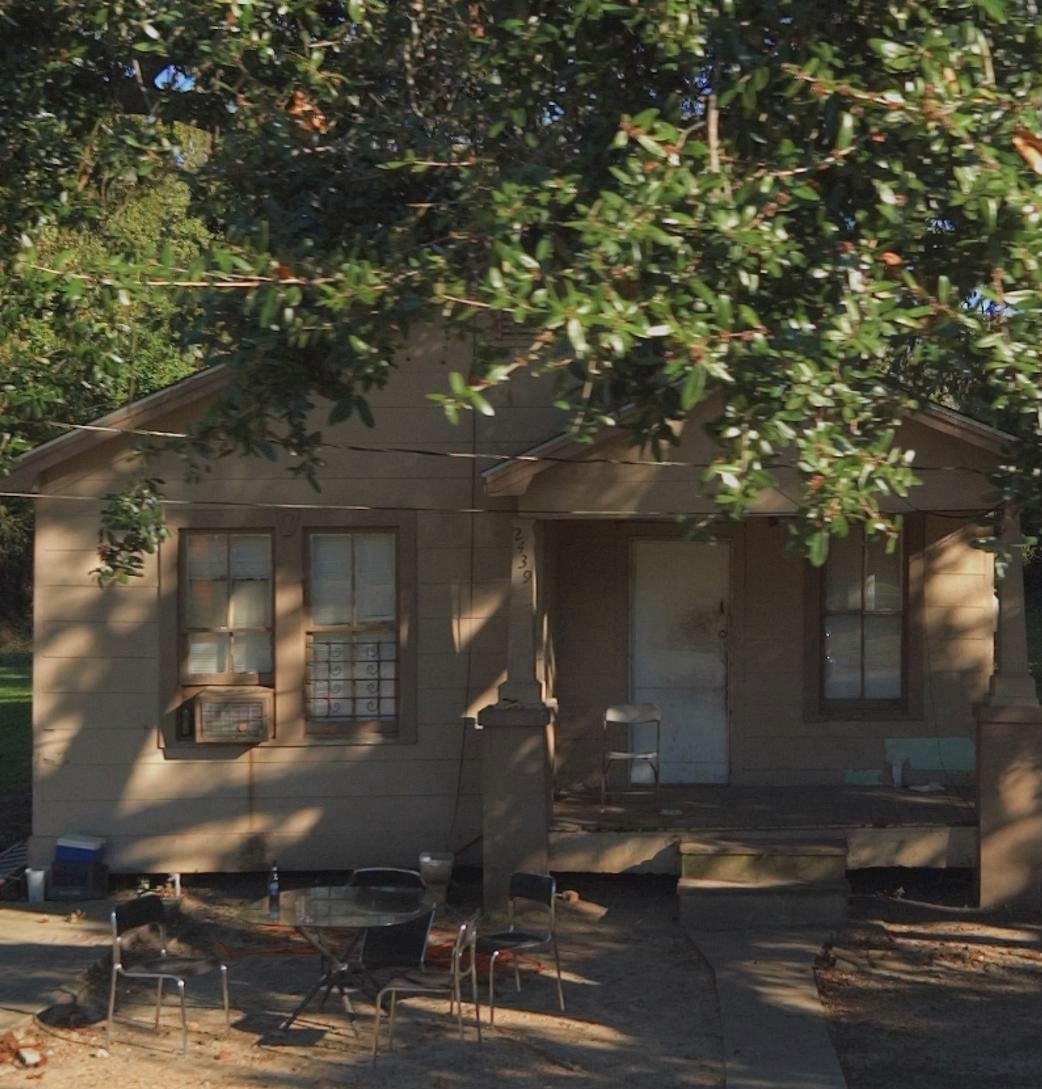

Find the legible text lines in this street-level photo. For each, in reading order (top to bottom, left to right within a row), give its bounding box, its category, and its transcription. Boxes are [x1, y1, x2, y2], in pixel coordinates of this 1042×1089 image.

[512, 524, 533, 586] StreetNumber: 2439